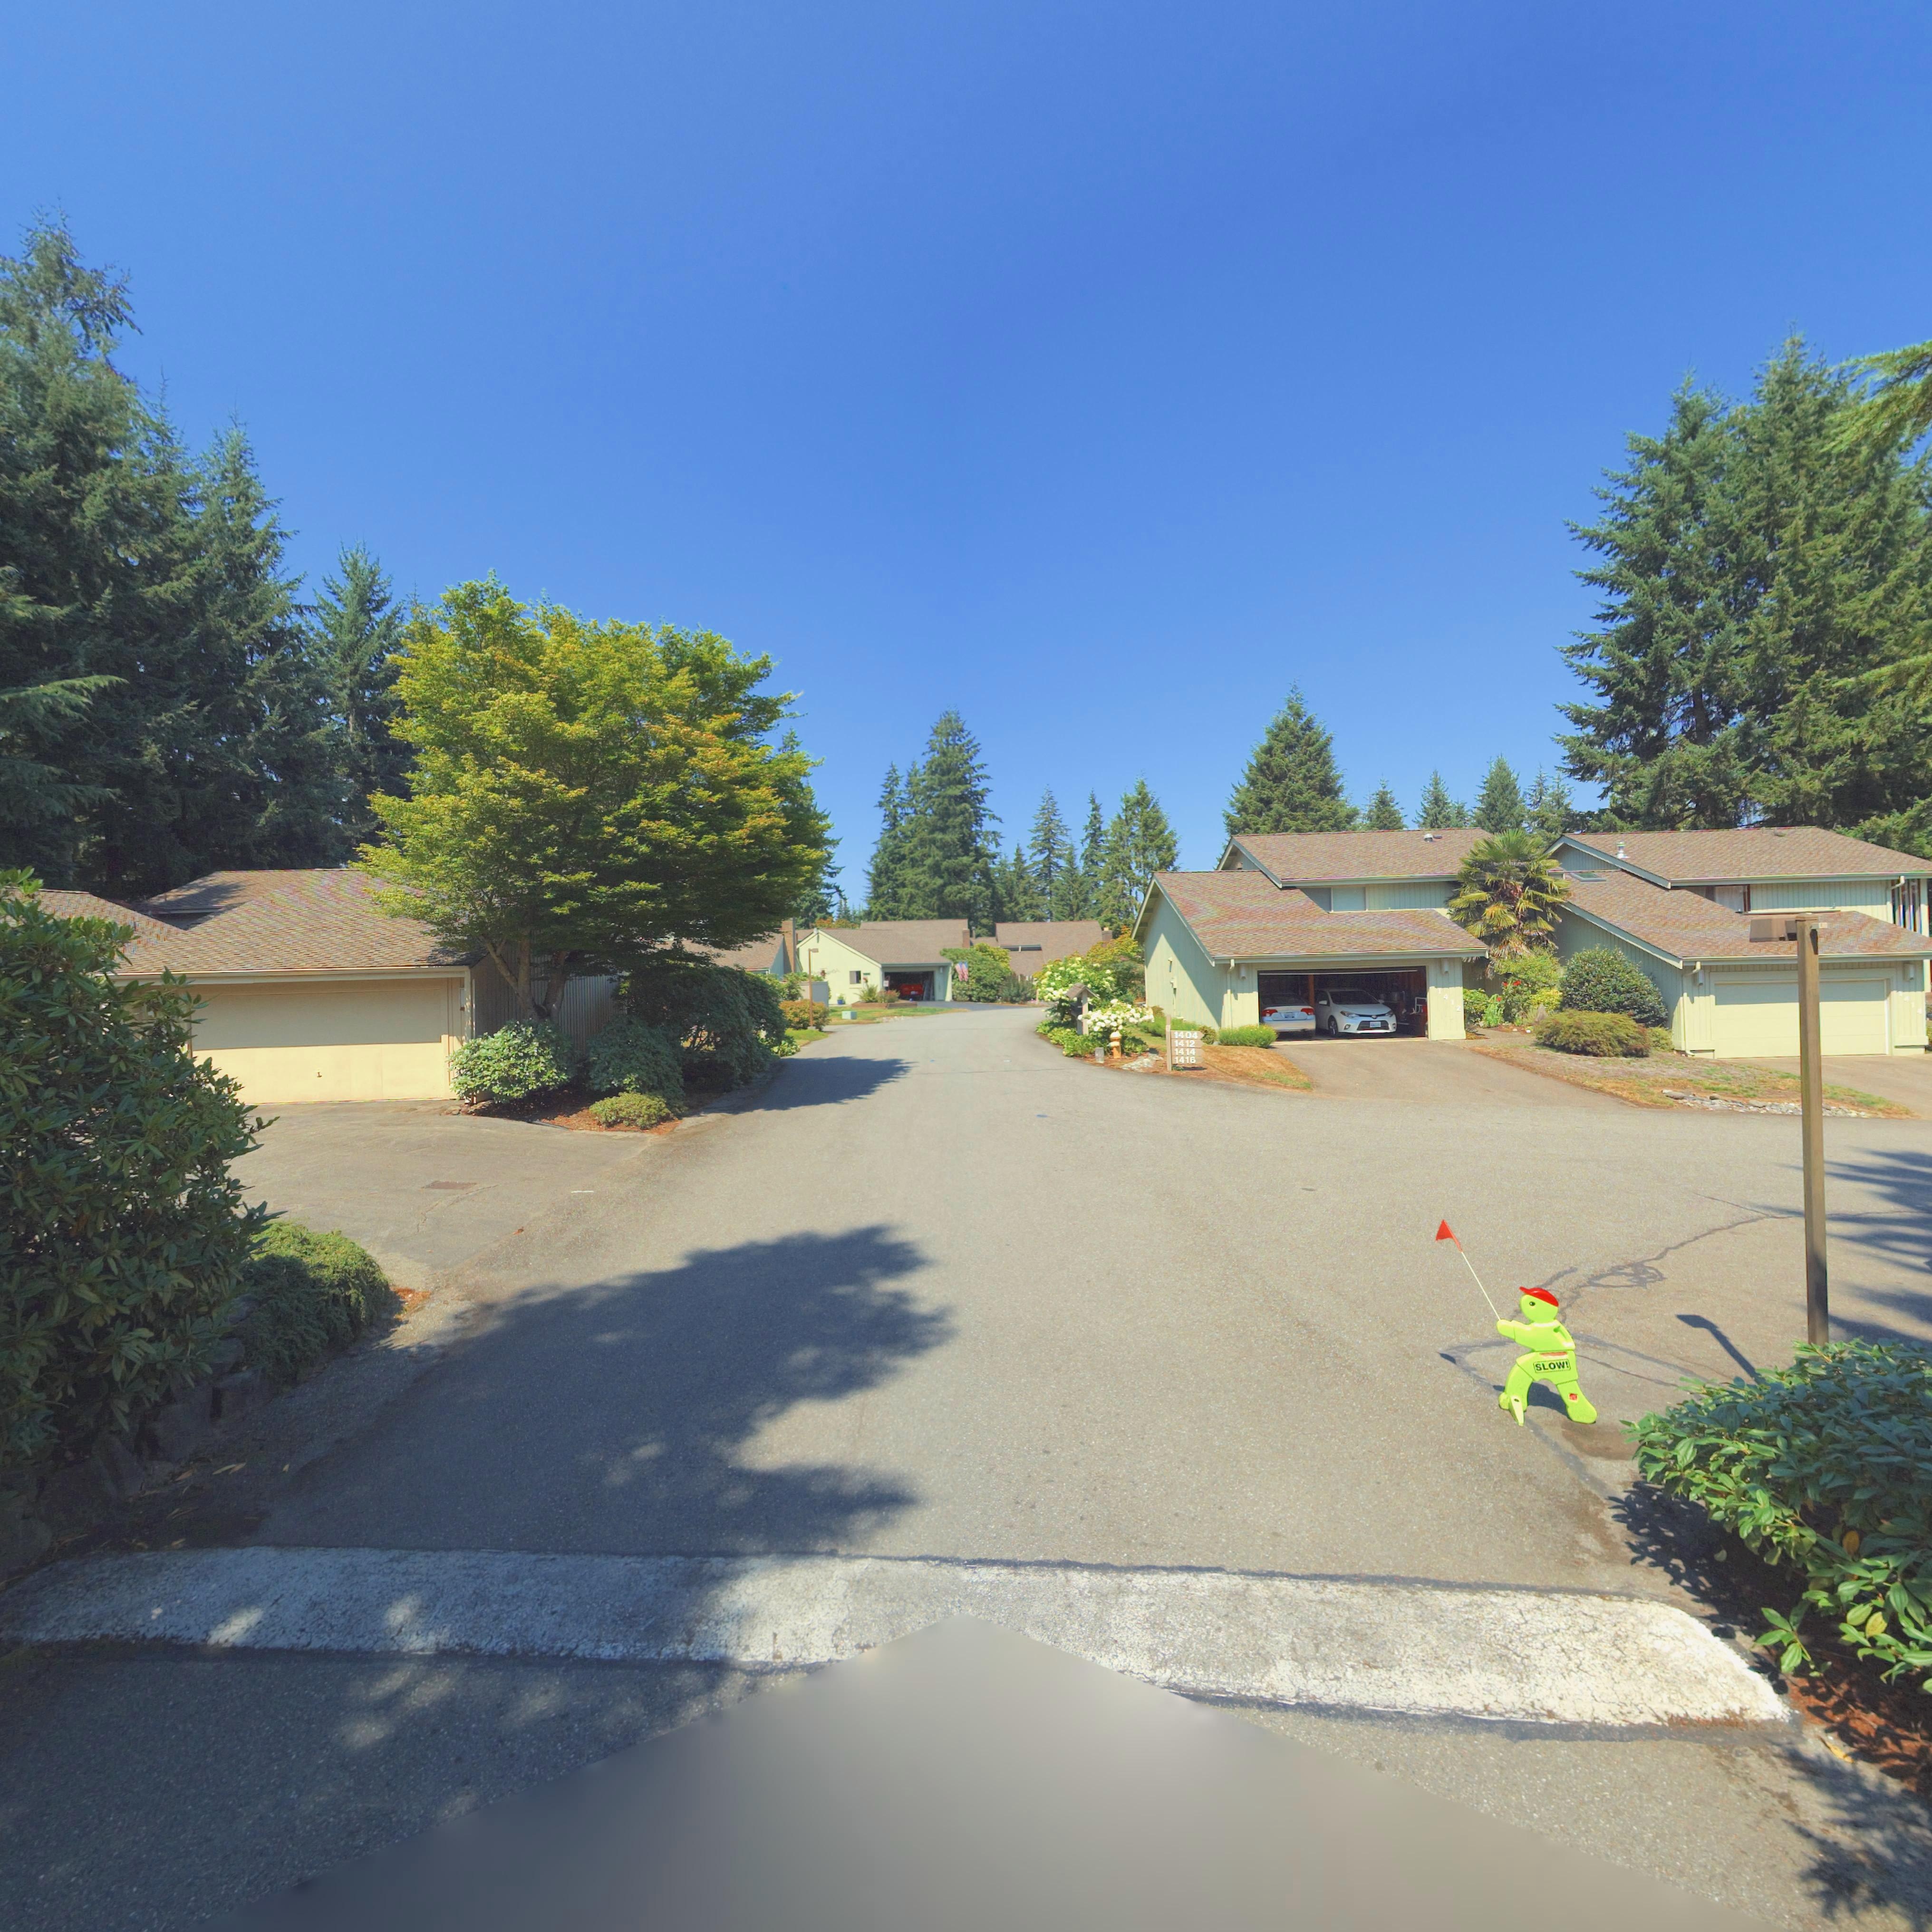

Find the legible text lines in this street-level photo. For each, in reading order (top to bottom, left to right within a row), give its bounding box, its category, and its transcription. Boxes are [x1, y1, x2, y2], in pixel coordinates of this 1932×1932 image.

[1173, 1031, 1200, 1039] StreetNumber: 1404
[1173, 1040, 1195, 1047] StreetNumber: 1412
[1174, 1048, 1196, 1055] StreetNumber: 1414
[1175, 1056, 1195, 1063] StreetNumber: 1416